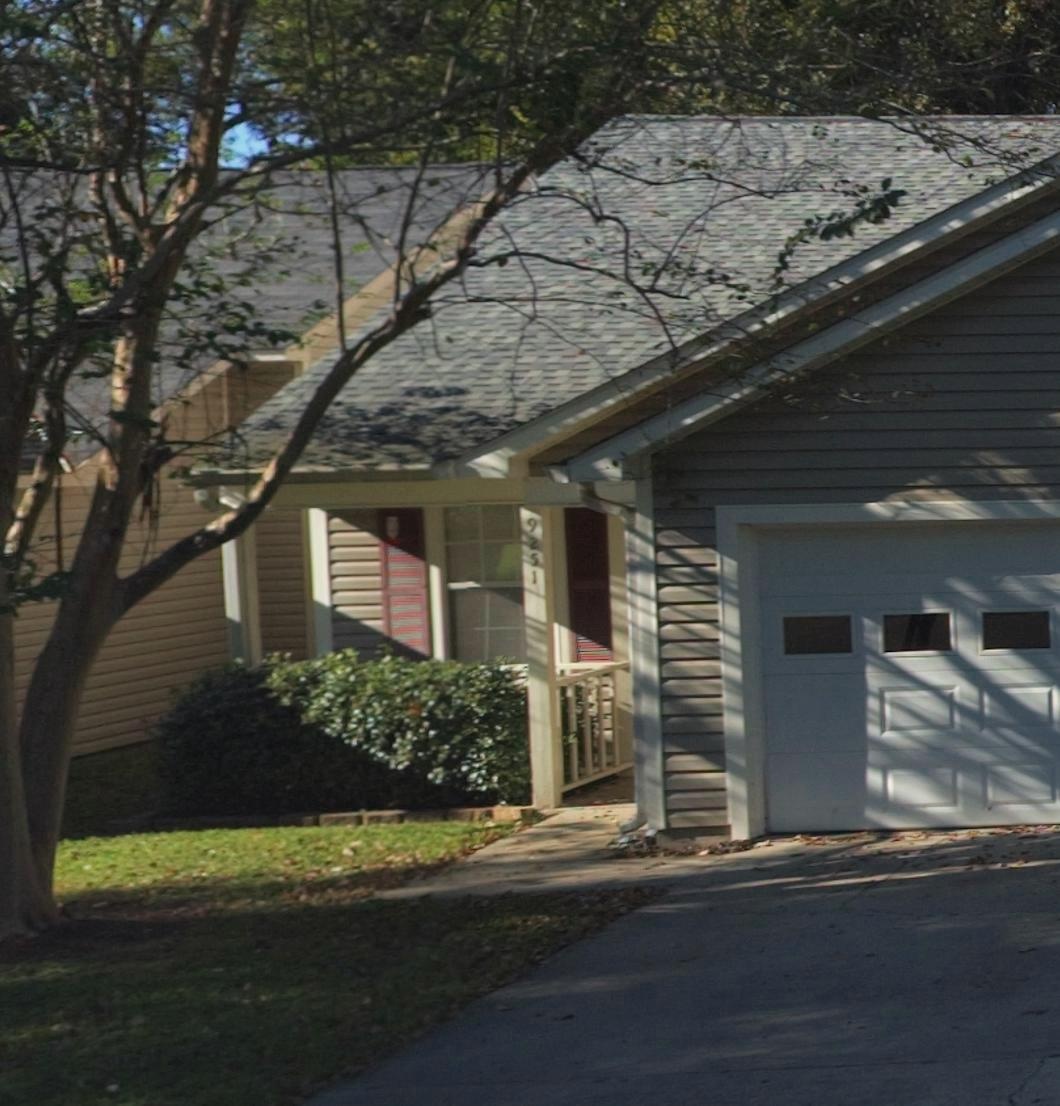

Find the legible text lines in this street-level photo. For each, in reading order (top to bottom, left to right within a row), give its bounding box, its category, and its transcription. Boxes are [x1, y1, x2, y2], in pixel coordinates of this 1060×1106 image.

[525, 516, 542, 585] StreetNumber: 9251